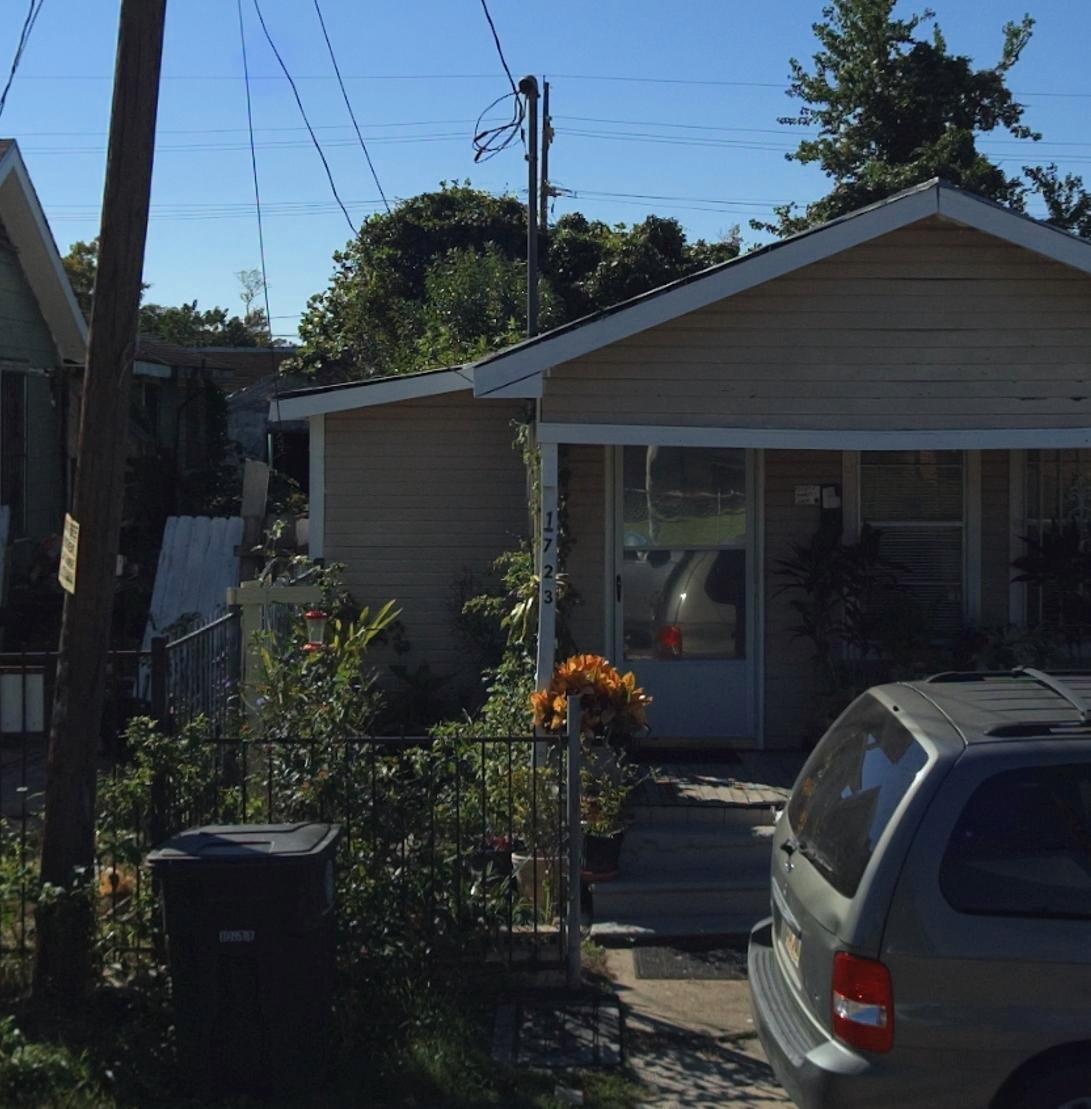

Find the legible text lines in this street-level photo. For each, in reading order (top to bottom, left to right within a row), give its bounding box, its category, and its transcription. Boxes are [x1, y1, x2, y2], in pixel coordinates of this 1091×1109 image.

[541, 509, 555, 606] StreetNumber: 1723
[217, 929, 256, 945] None: ***957*67